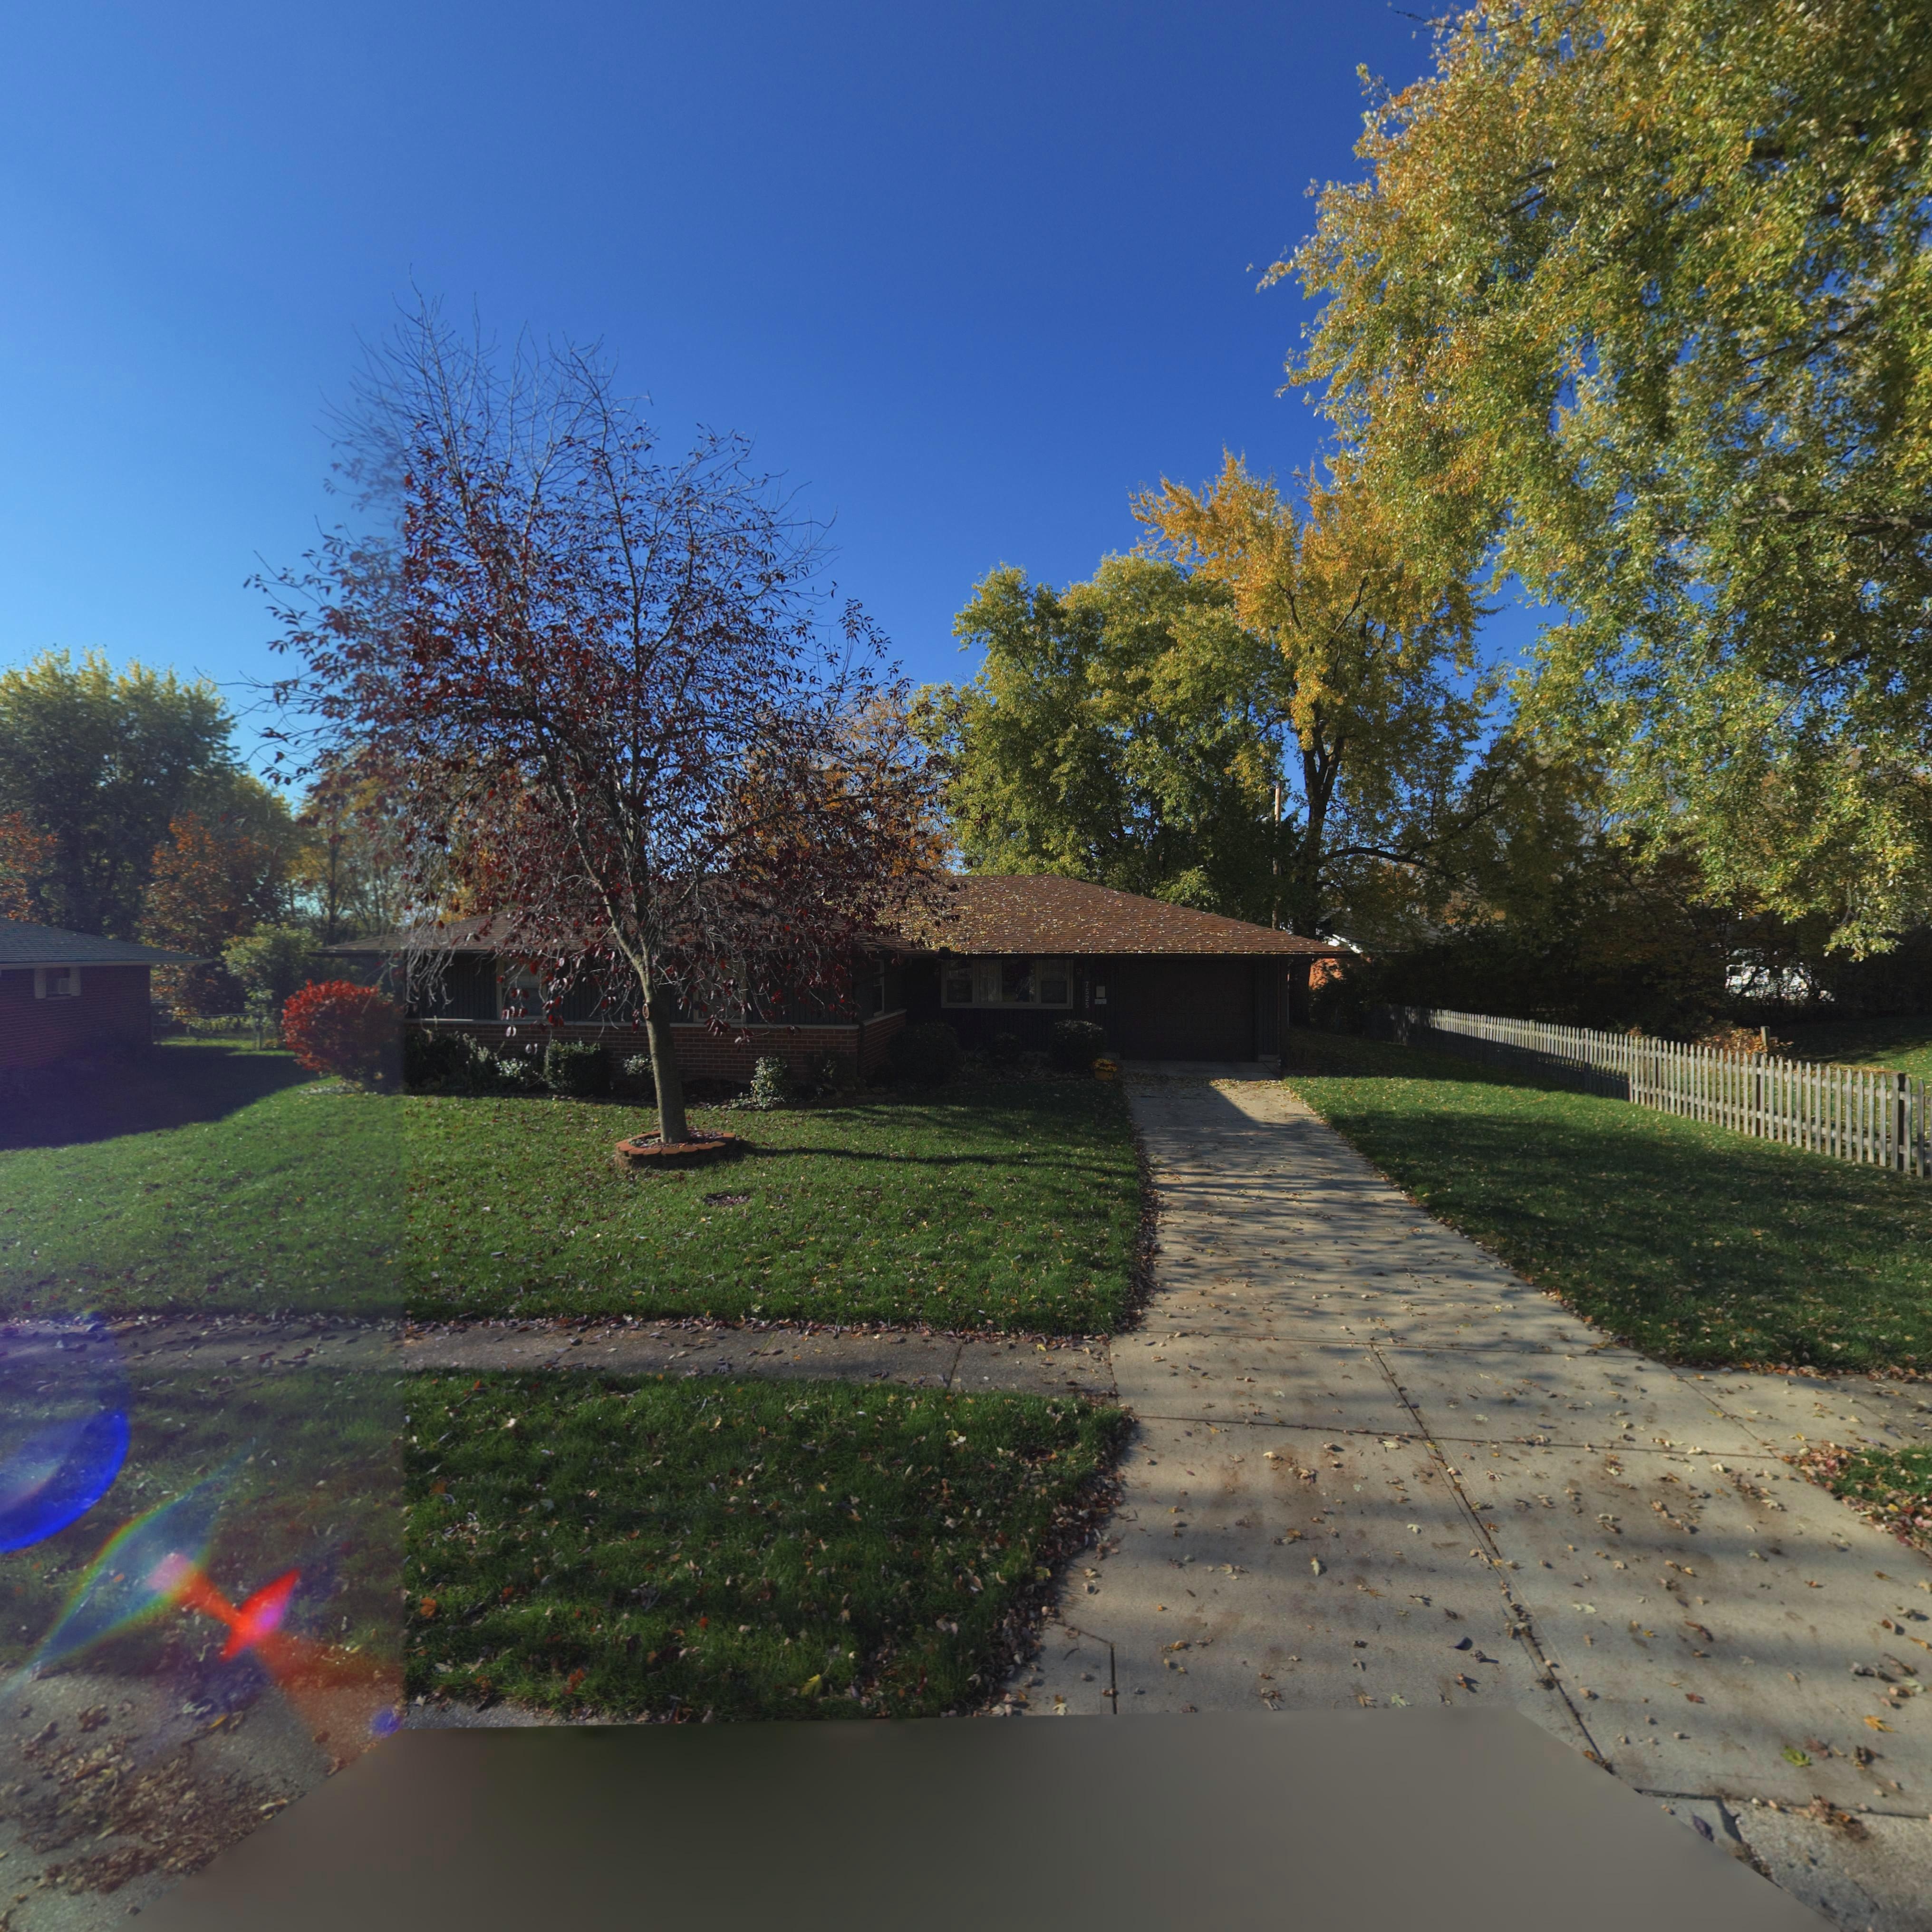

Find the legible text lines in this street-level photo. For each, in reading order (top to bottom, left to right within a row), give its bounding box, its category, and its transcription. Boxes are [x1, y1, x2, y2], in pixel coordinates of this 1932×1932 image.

[1084, 980, 1091, 1009] StreetNumber: 7525